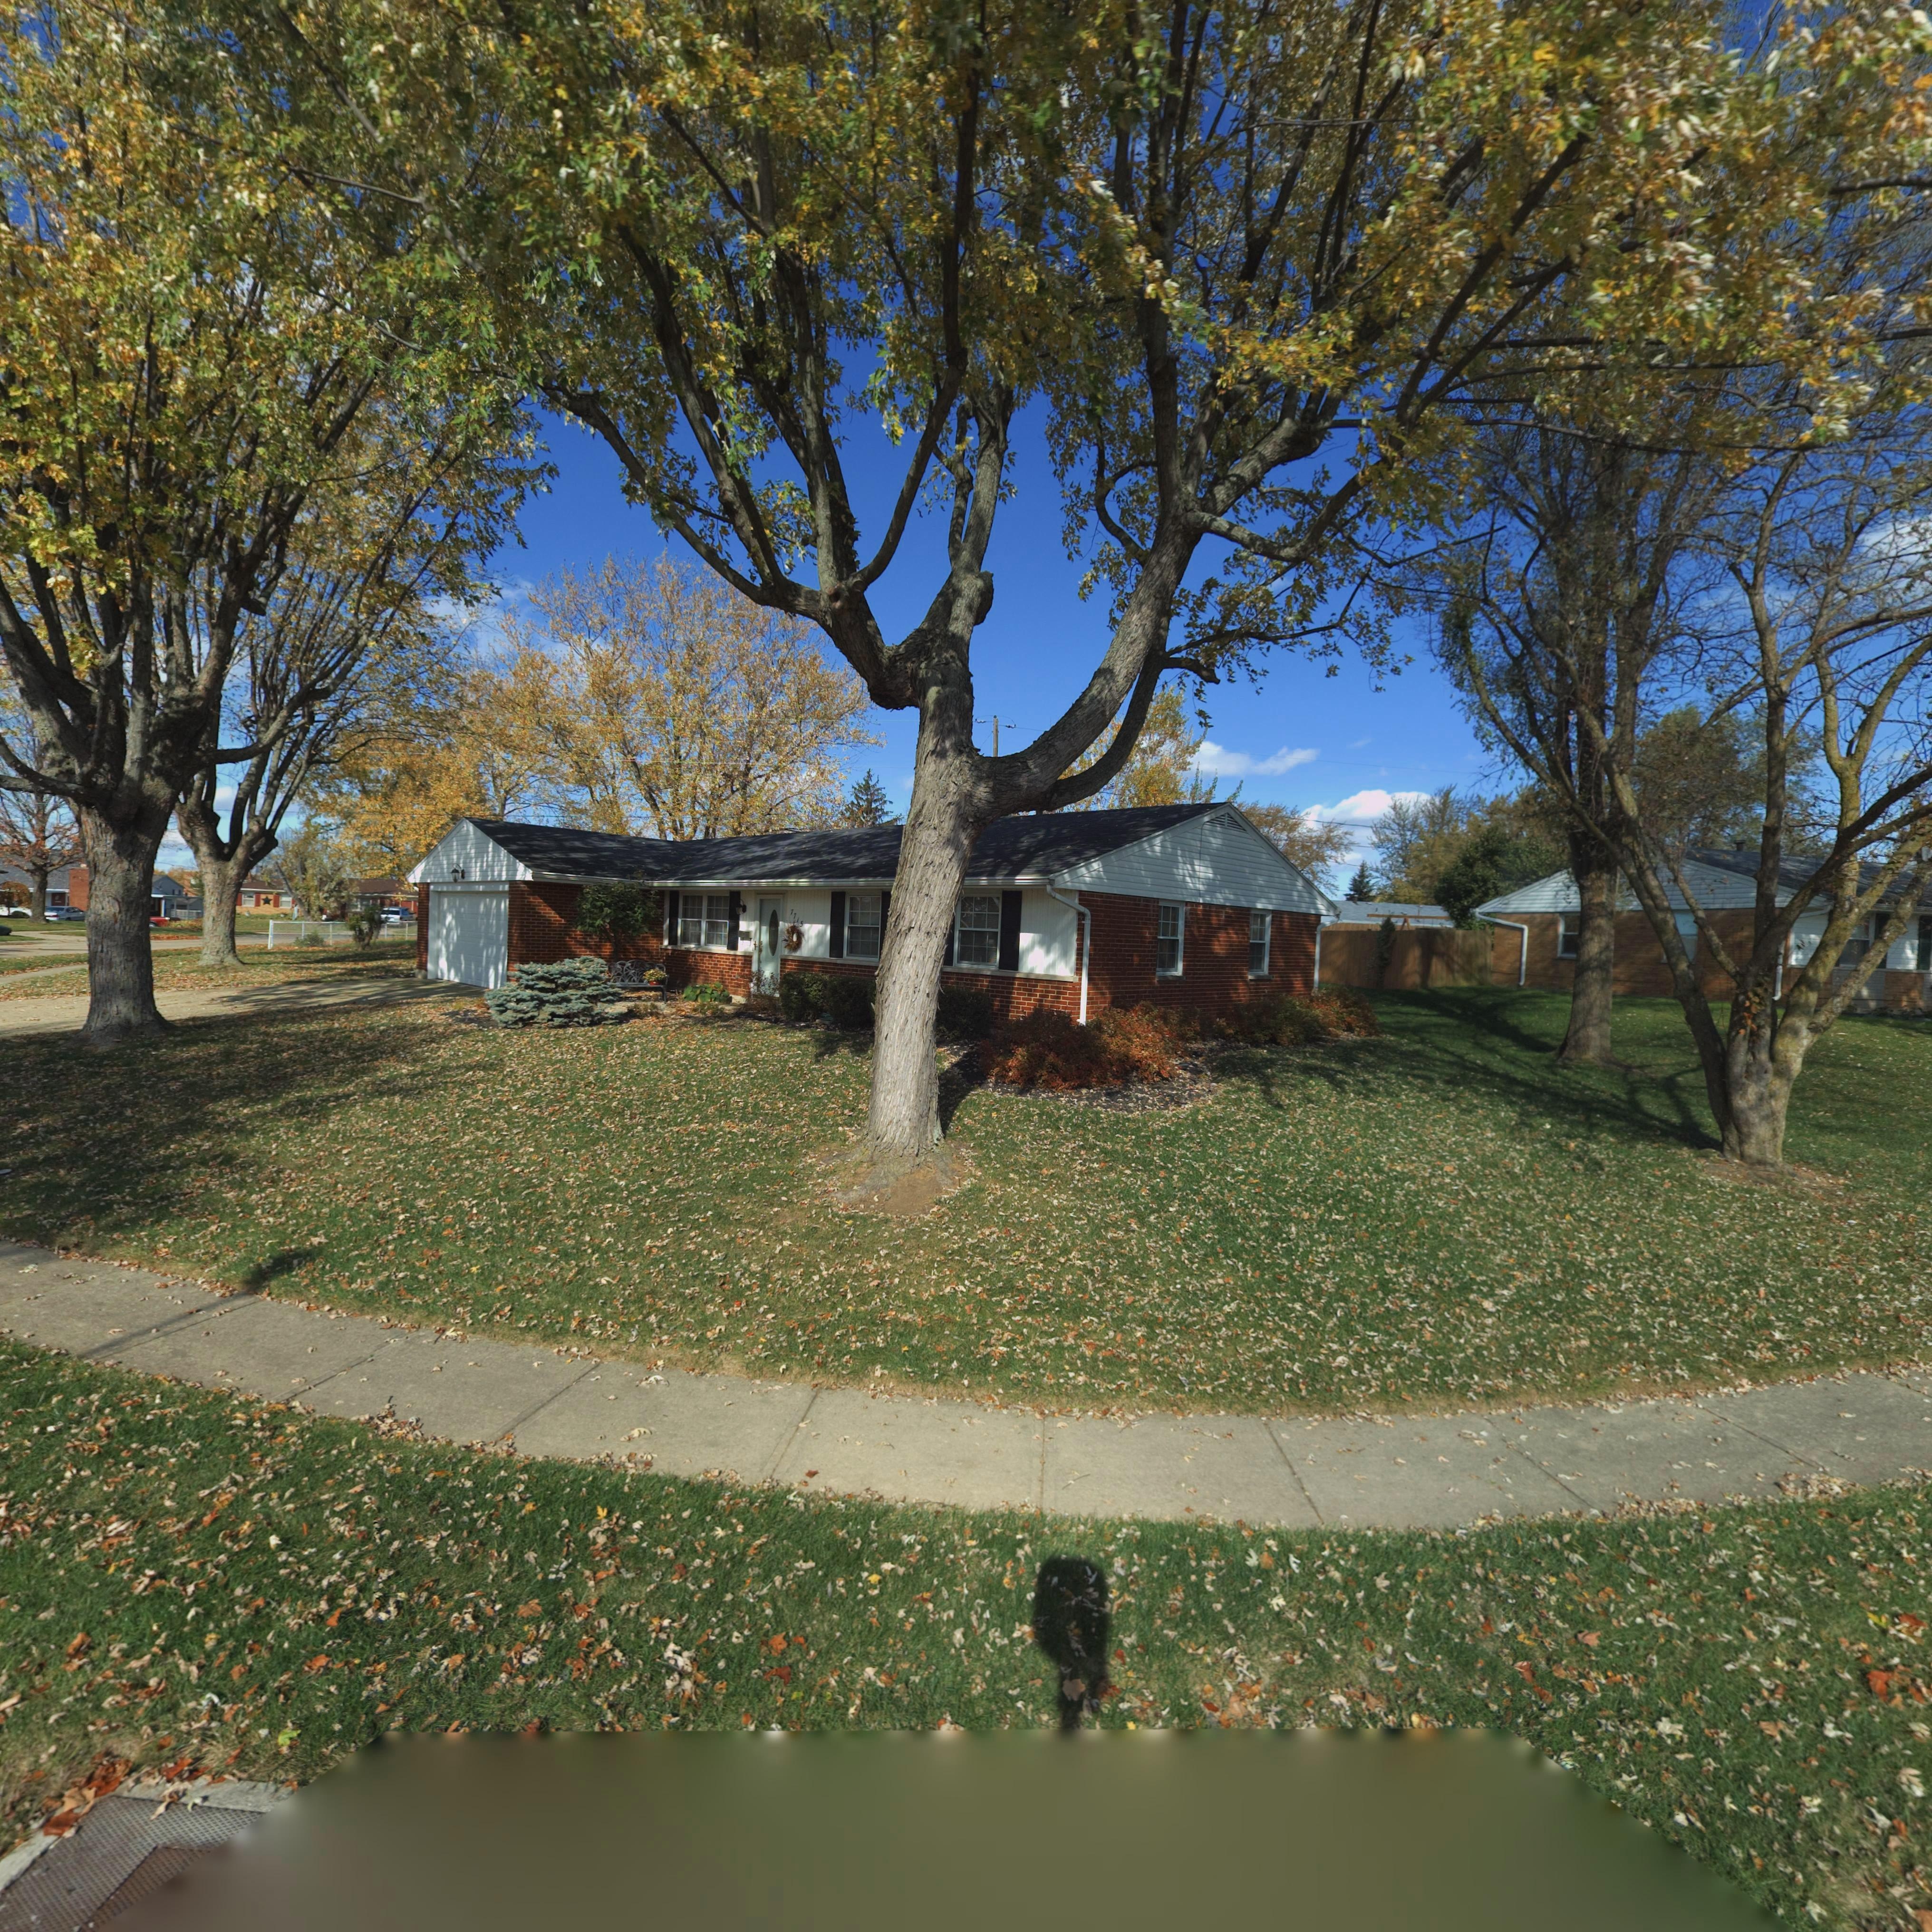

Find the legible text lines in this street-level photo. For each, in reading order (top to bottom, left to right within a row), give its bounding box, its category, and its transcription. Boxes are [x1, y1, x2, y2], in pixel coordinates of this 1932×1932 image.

[790, 908, 803, 928] StreetNumber: 7715